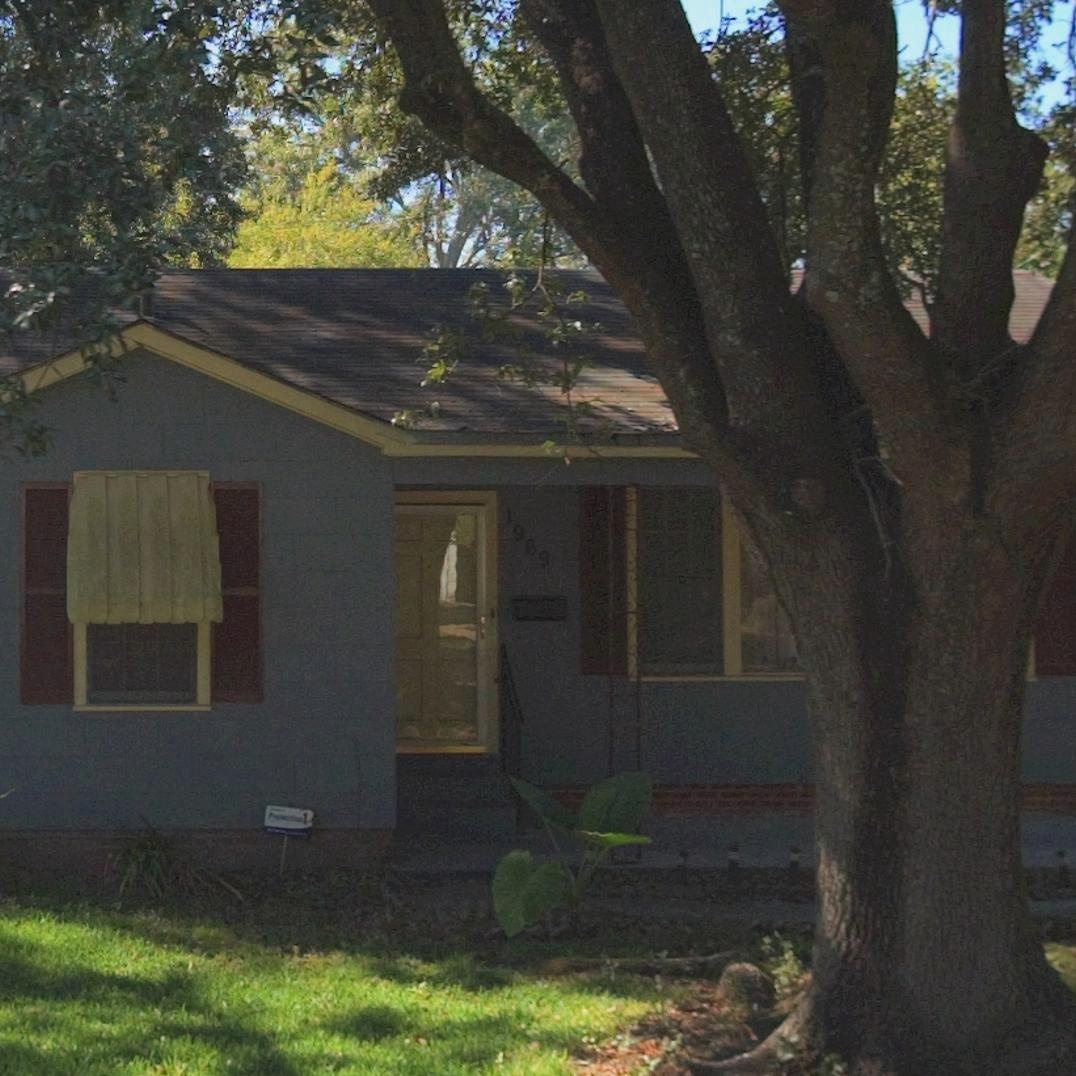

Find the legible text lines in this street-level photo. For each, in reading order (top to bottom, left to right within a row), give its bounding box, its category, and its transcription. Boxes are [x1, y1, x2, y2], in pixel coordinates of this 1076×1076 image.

[504, 506, 552, 569] StreetNumber: 1969
[301, 811, 309, 826] None: 1